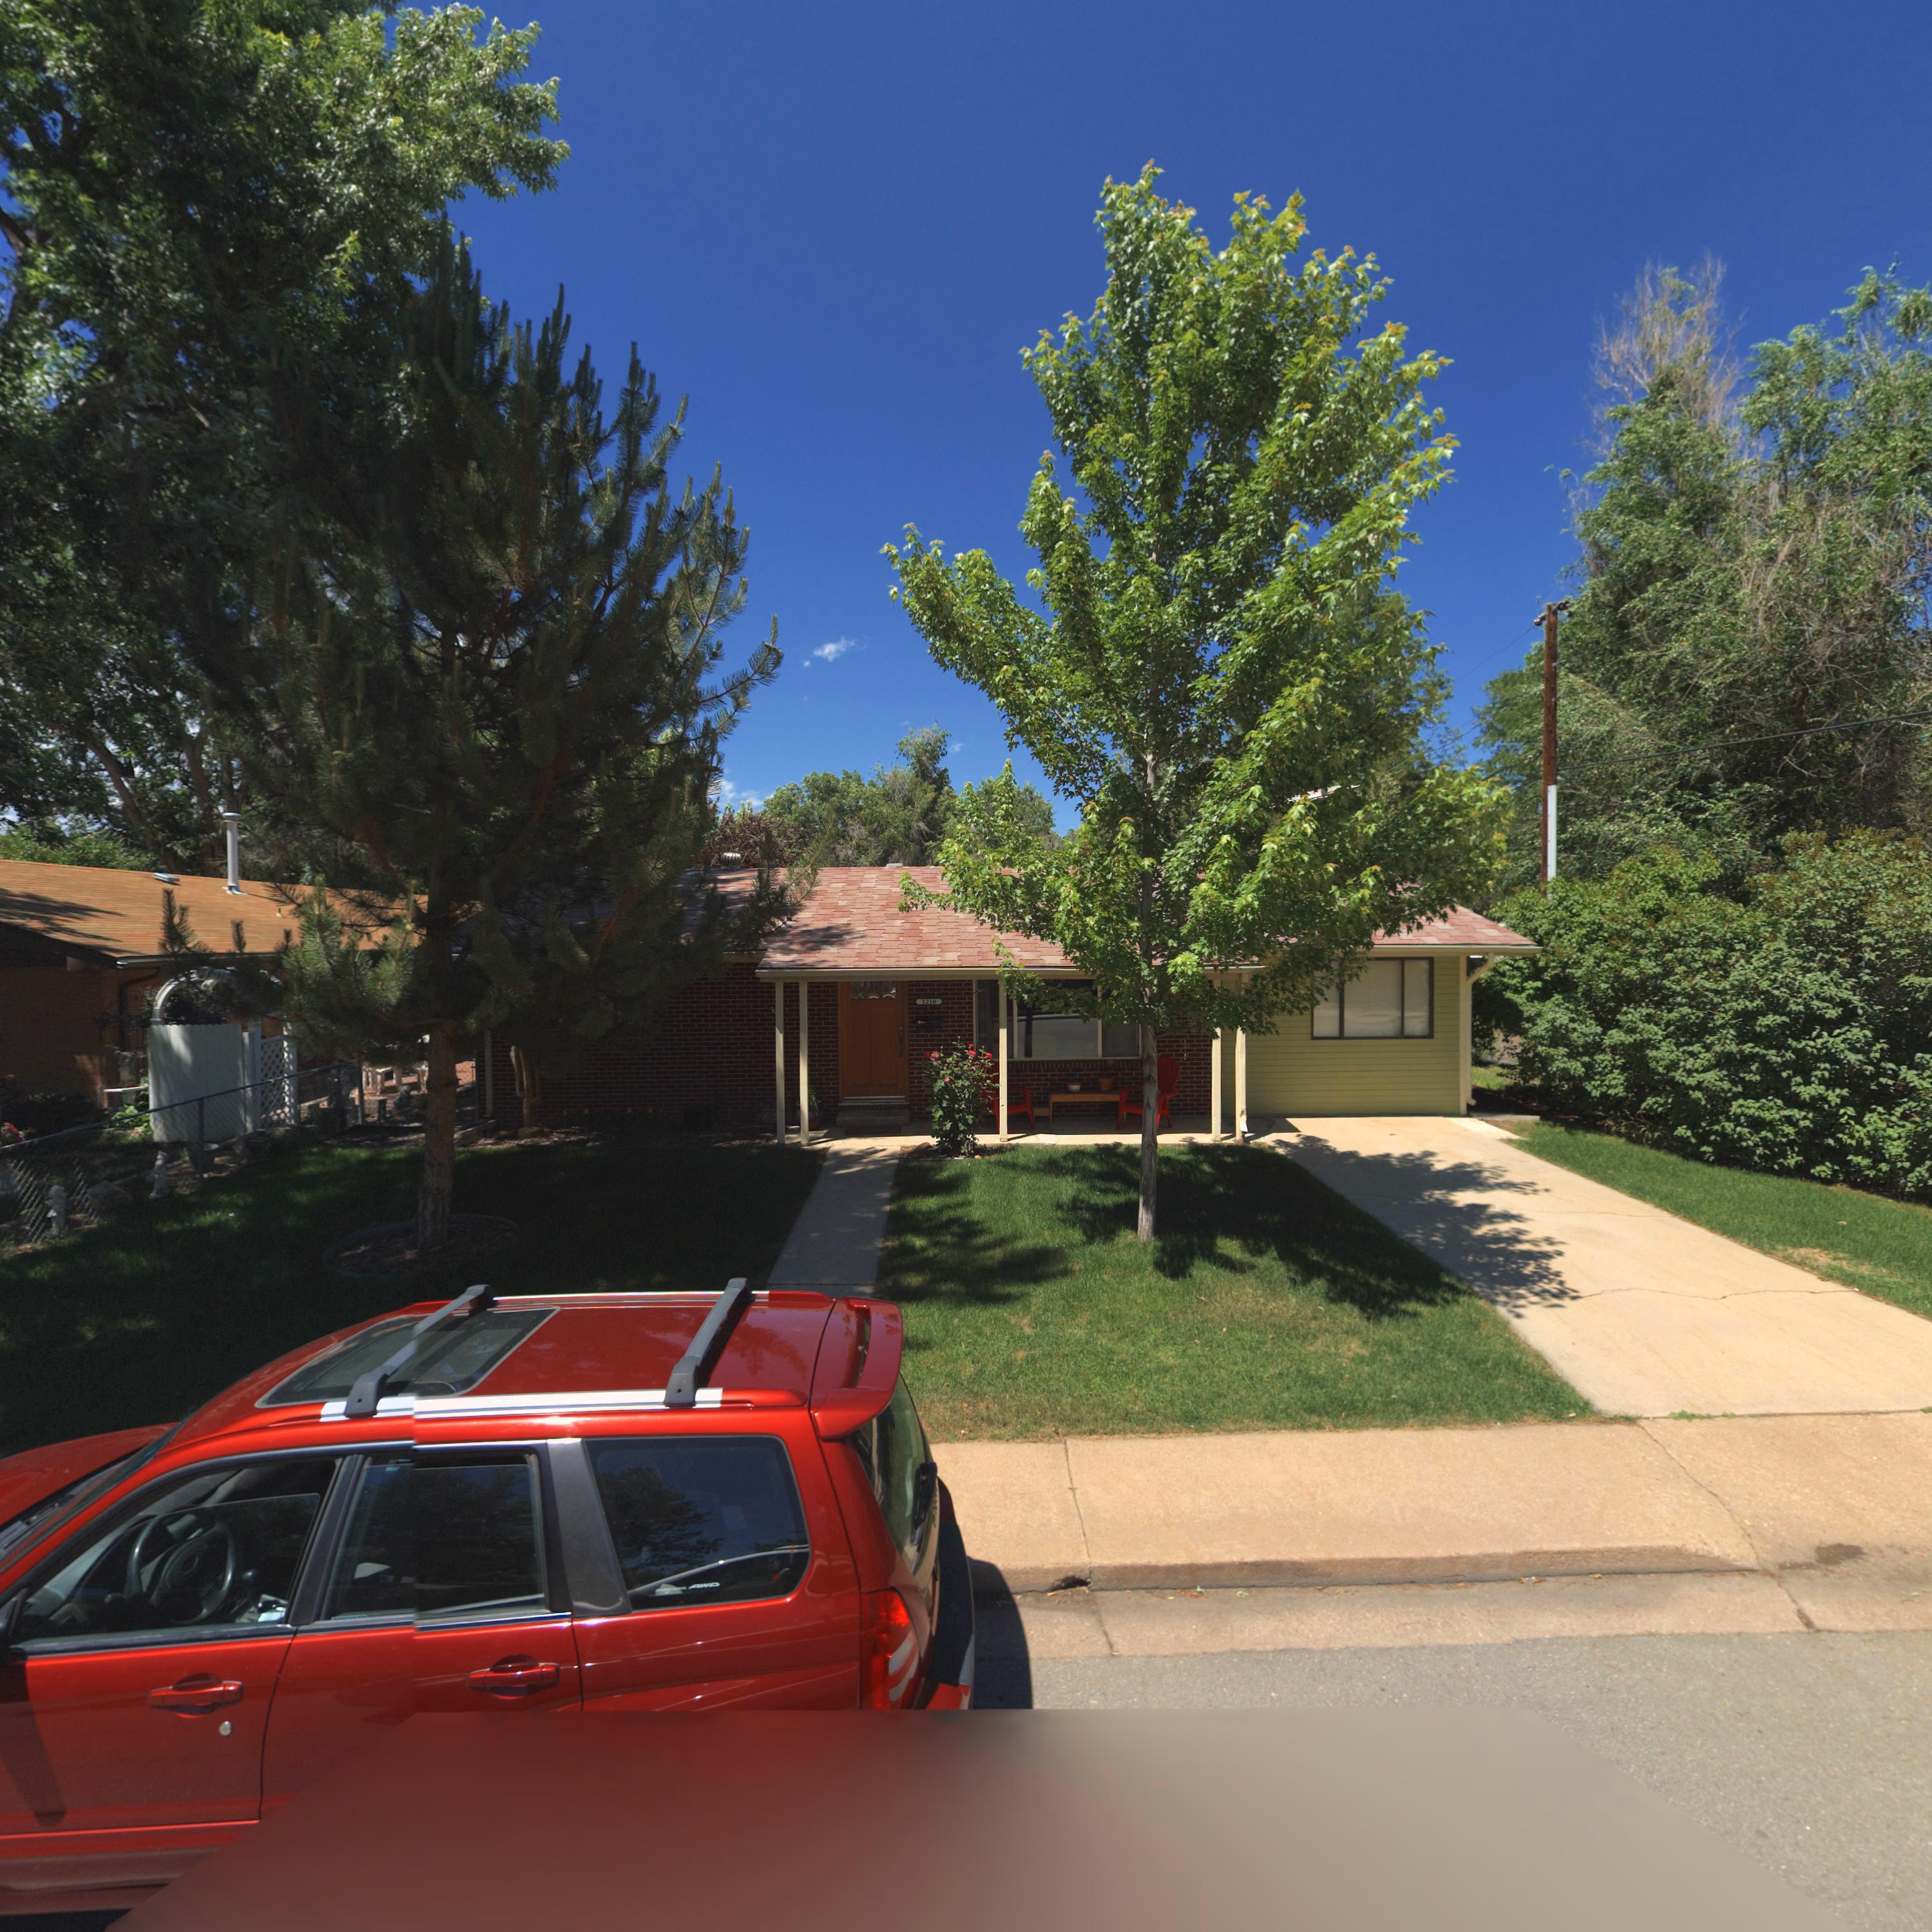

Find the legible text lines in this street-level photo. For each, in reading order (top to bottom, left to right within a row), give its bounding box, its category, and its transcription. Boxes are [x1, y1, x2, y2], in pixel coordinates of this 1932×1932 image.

[921, 999, 937, 1005] StreetNumber: 1210